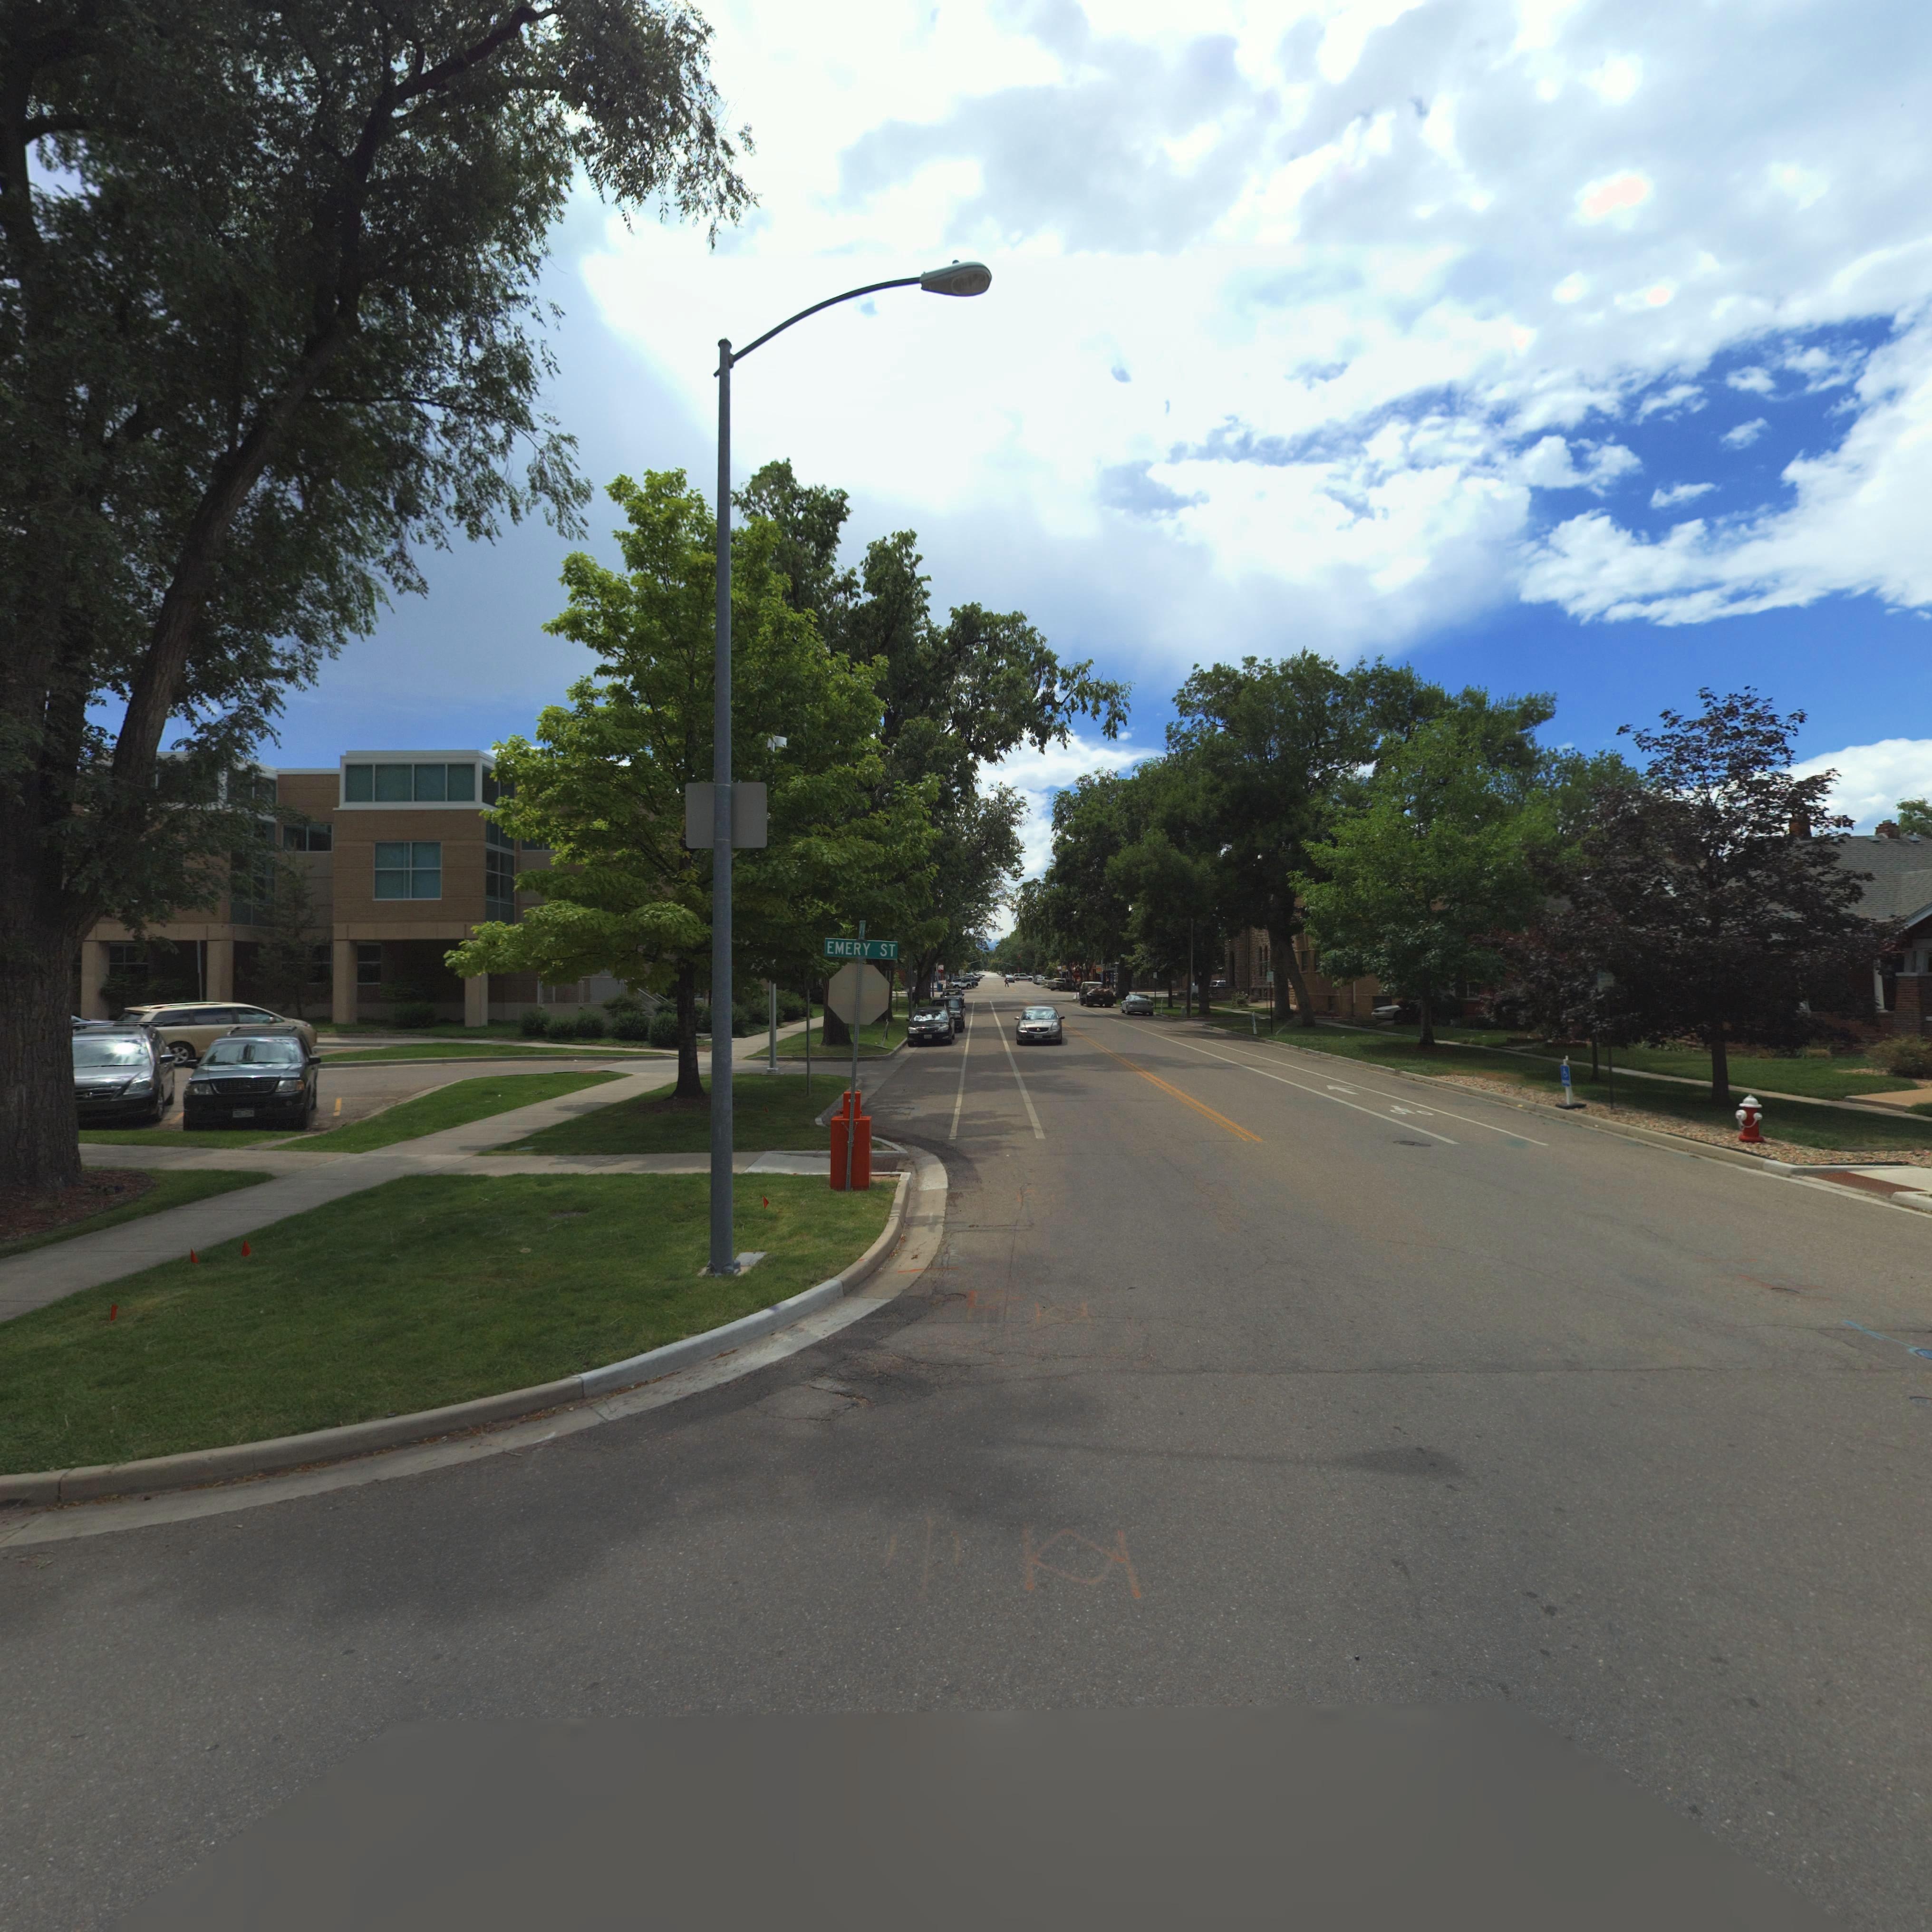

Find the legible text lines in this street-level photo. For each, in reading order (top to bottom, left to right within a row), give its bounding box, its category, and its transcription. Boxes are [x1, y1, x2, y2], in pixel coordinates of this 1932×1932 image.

[826, 940, 896, 957] StreetName: EMERY ST